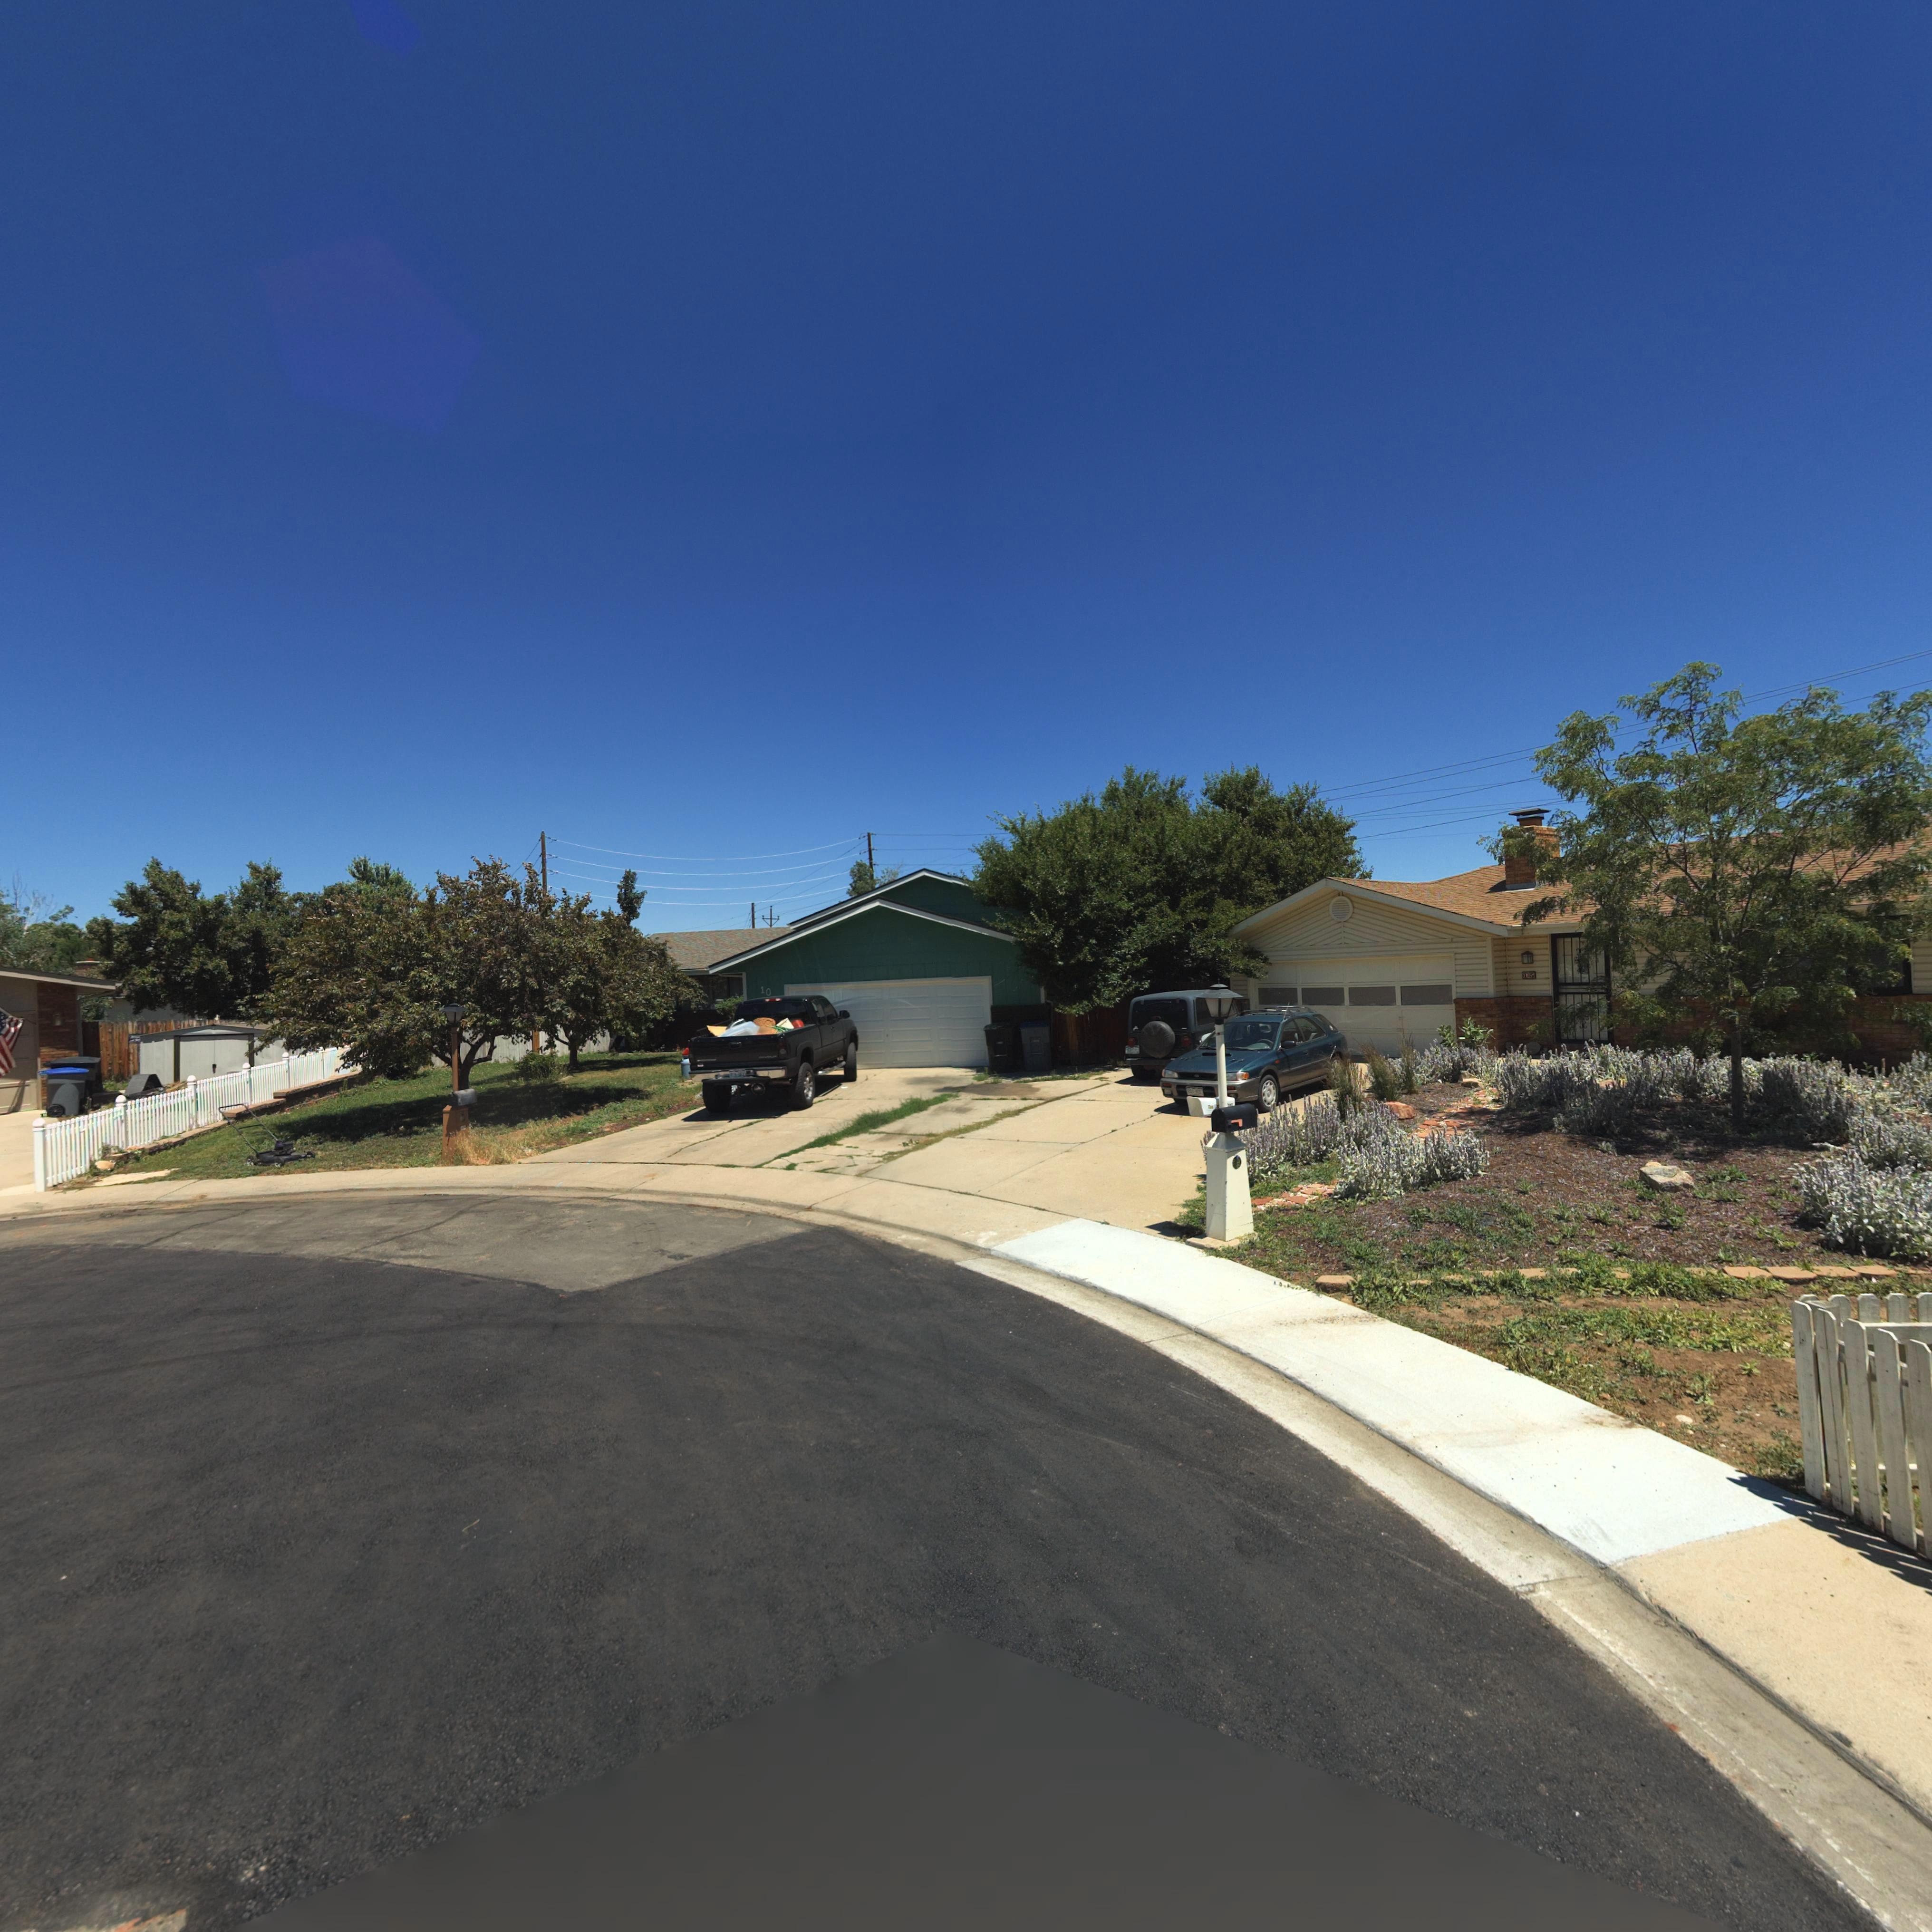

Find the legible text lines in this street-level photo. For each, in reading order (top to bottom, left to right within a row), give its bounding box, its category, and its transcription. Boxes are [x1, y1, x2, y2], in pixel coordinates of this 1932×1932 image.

[1522, 972, 1536, 979] StreetNumber: **5*
[760, 985, 772, 996] StreetNumber: 10